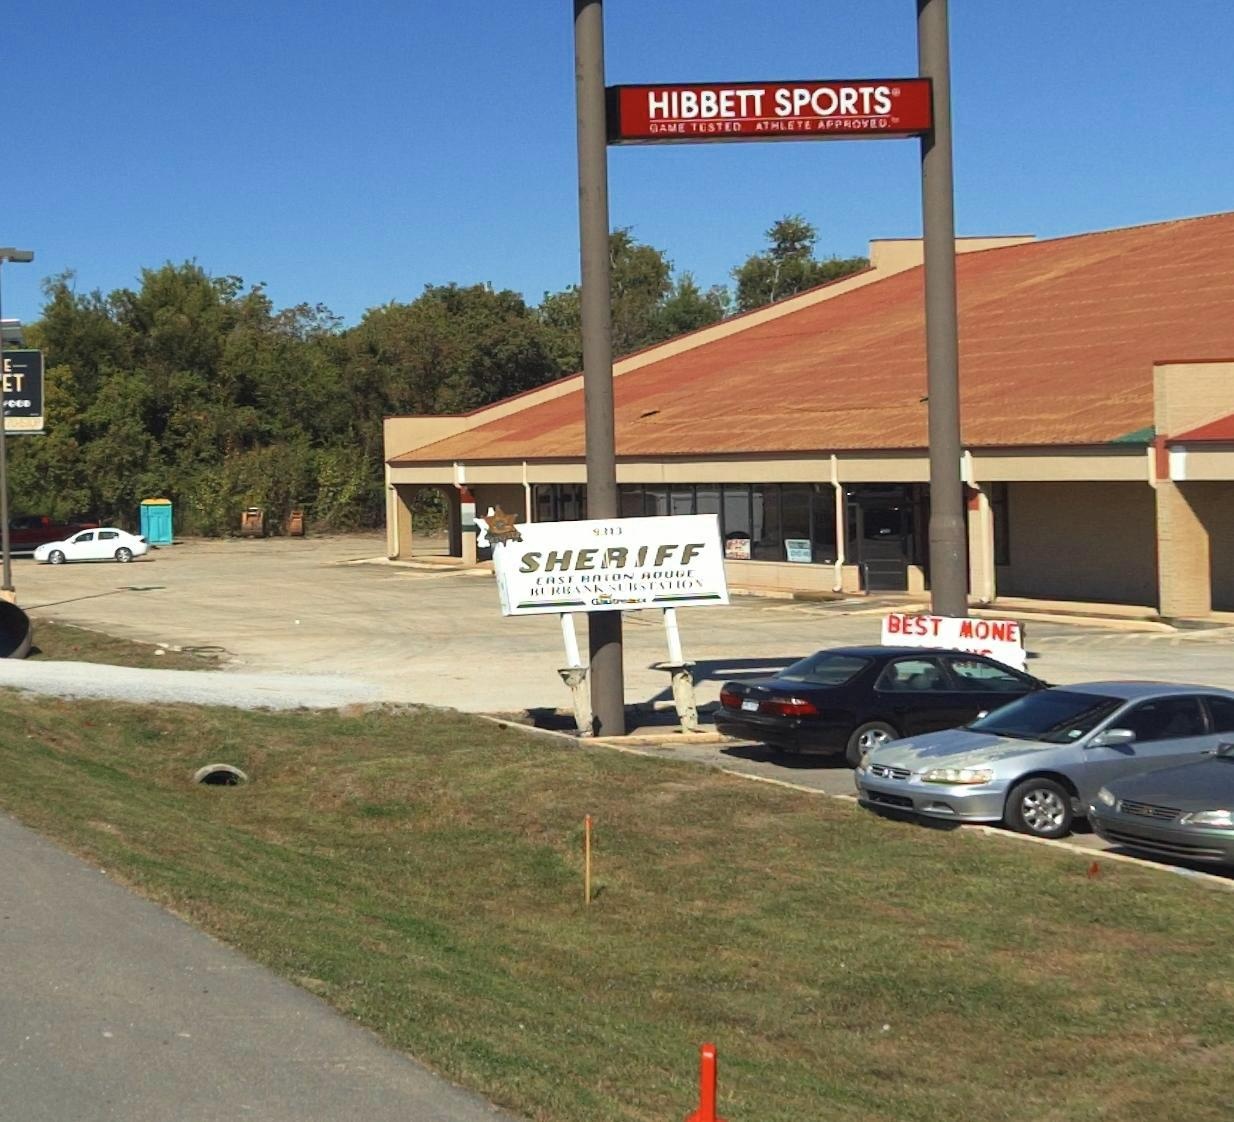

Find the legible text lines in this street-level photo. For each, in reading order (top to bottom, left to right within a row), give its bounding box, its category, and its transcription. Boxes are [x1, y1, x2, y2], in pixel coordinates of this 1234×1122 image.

[646, 85, 893, 120] BusinessName: HIBBETT SPORTS
[648, 117, 888, 134] None: GAME TESTED ATHLETE APPROVED
[3, 358, 13, 373] None: E
[2, 373, 26, 393] None: ET
[592, 525, 623, 538] StreetNumber: 9**3
[518, 542, 706, 574] BusinessName: SHERIFF
[535, 568, 696, 586] BusinessName: EAST BATON ROUGE
[529, 578, 704, 598] BusinessName: BURBANK SUBSTATION
[885, 613, 1020, 643] None: BEST MONE